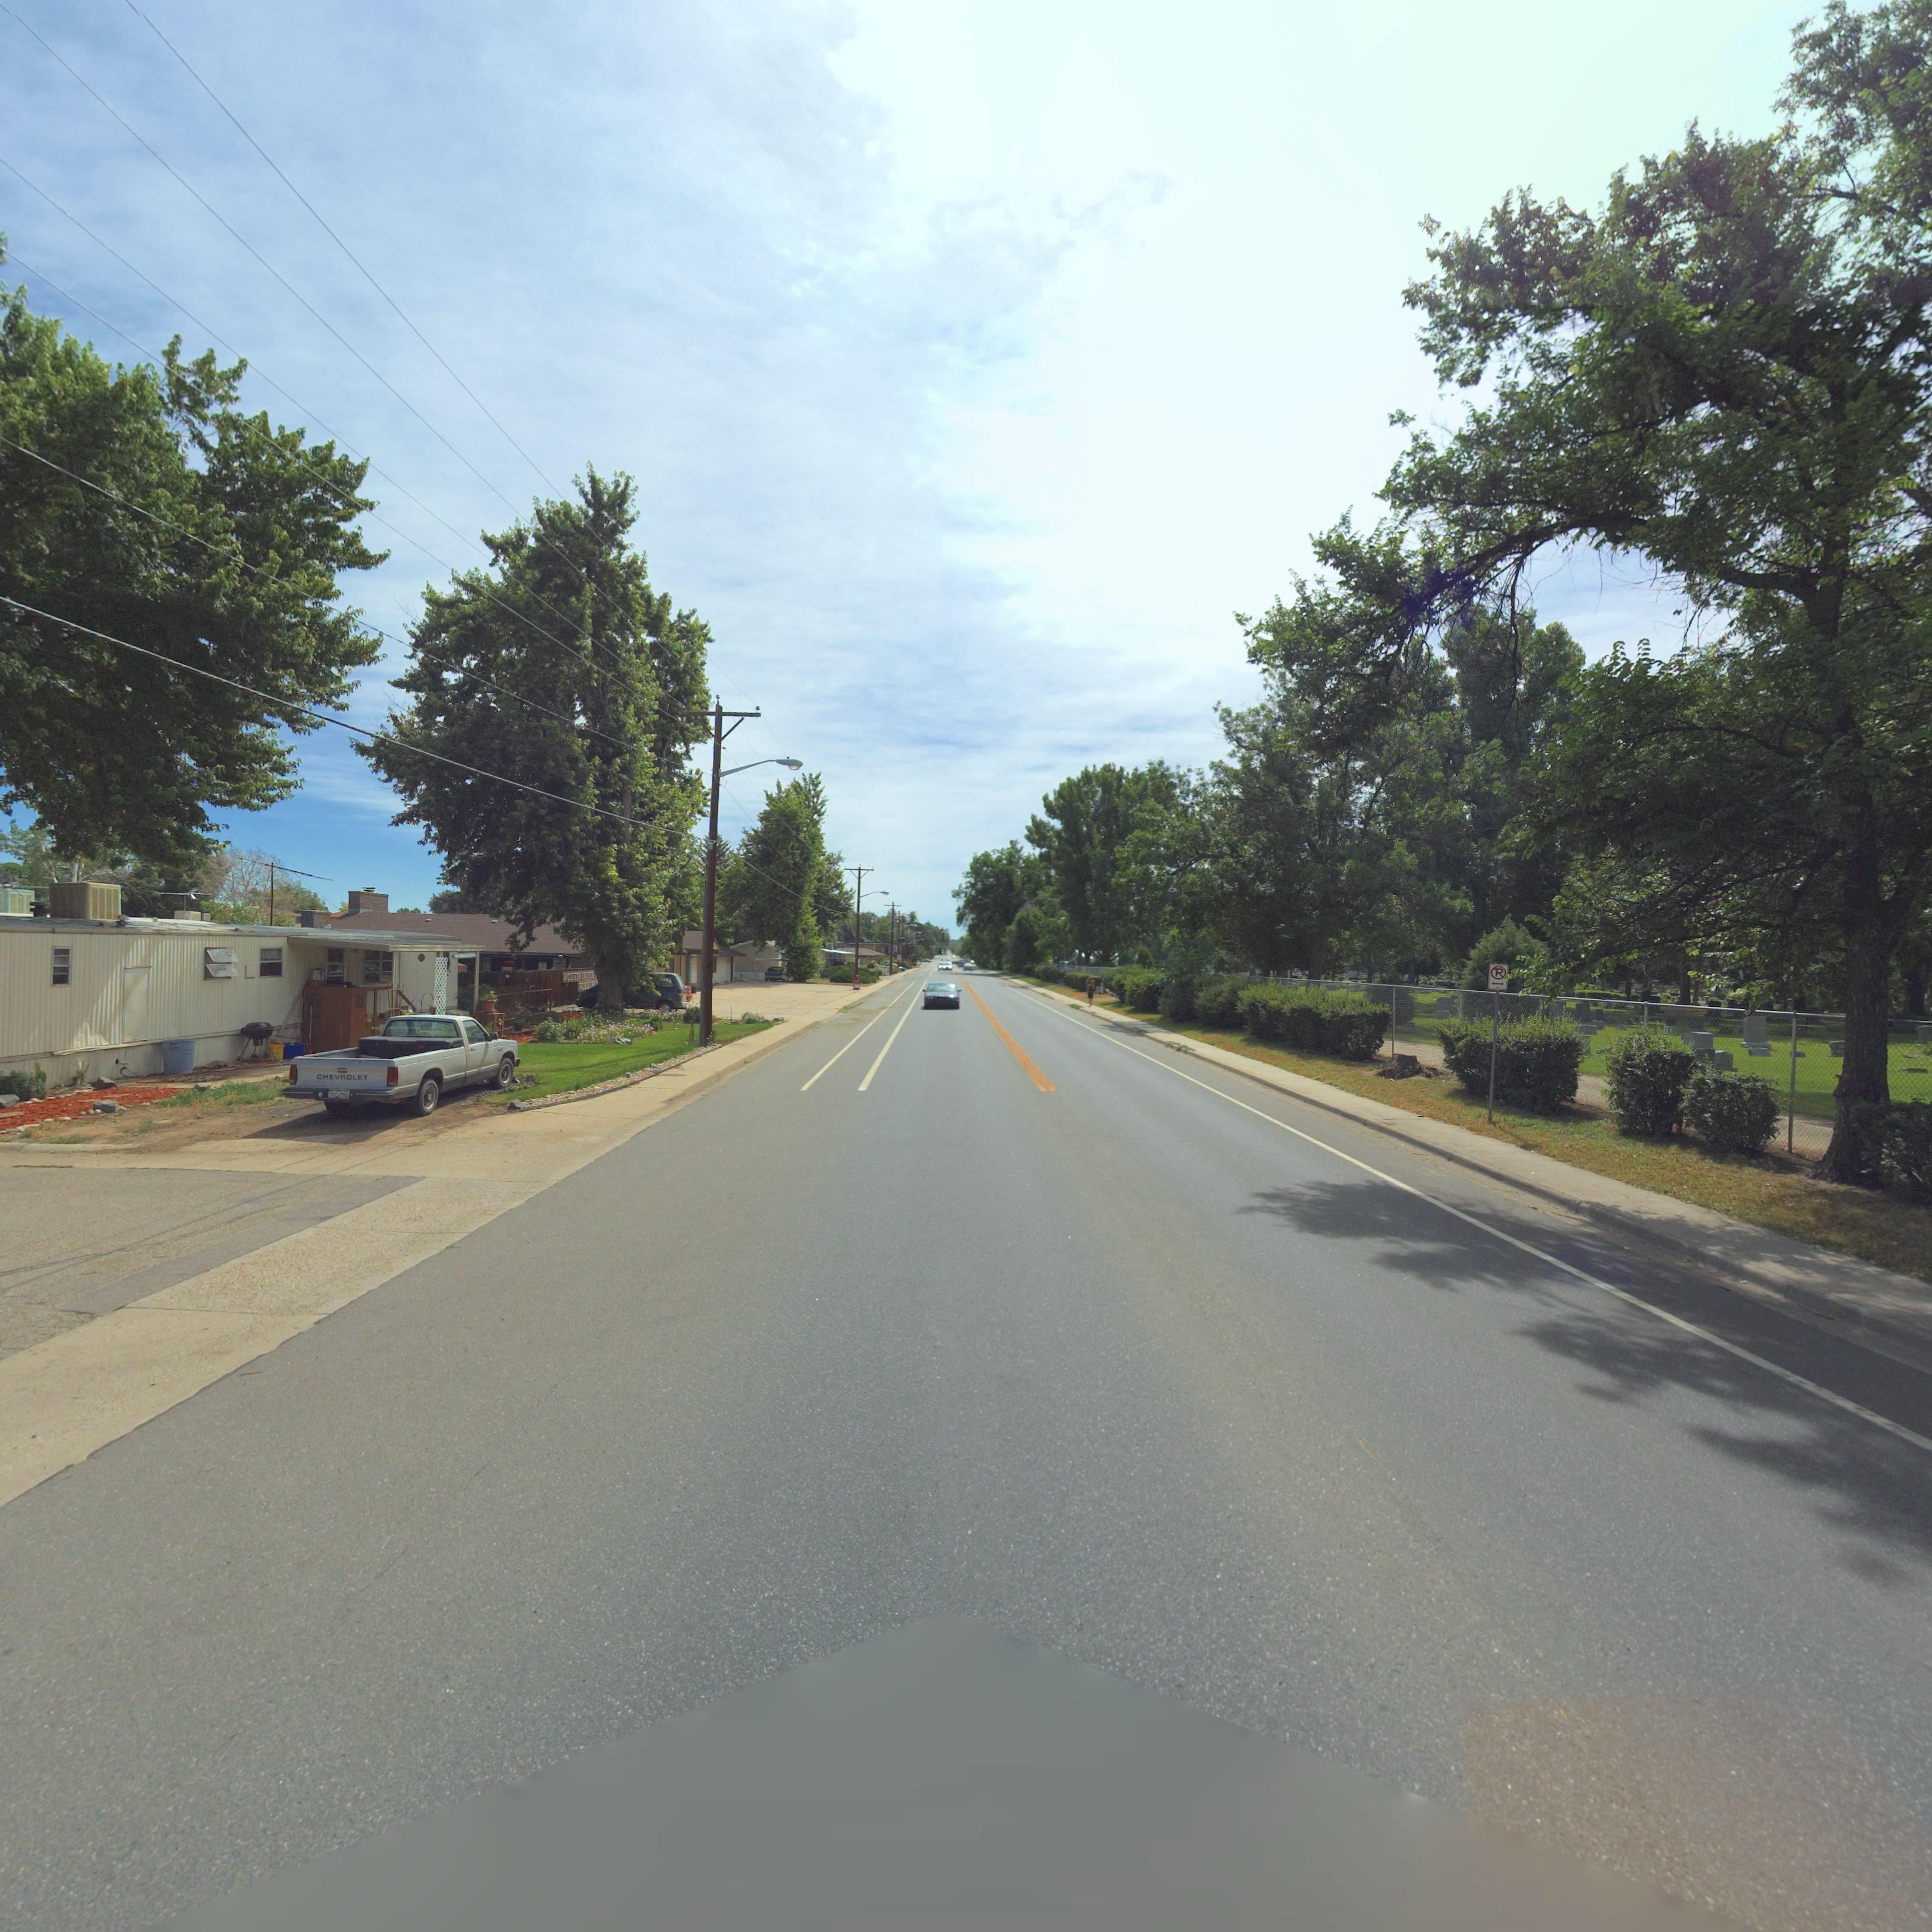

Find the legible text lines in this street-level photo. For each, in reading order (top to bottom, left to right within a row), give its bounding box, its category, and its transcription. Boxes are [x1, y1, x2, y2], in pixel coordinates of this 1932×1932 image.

[563, 972, 596, 980] BusinessName: MOUNTAIN ****
[578, 981, 598, 990] BusinessName: HO** ****